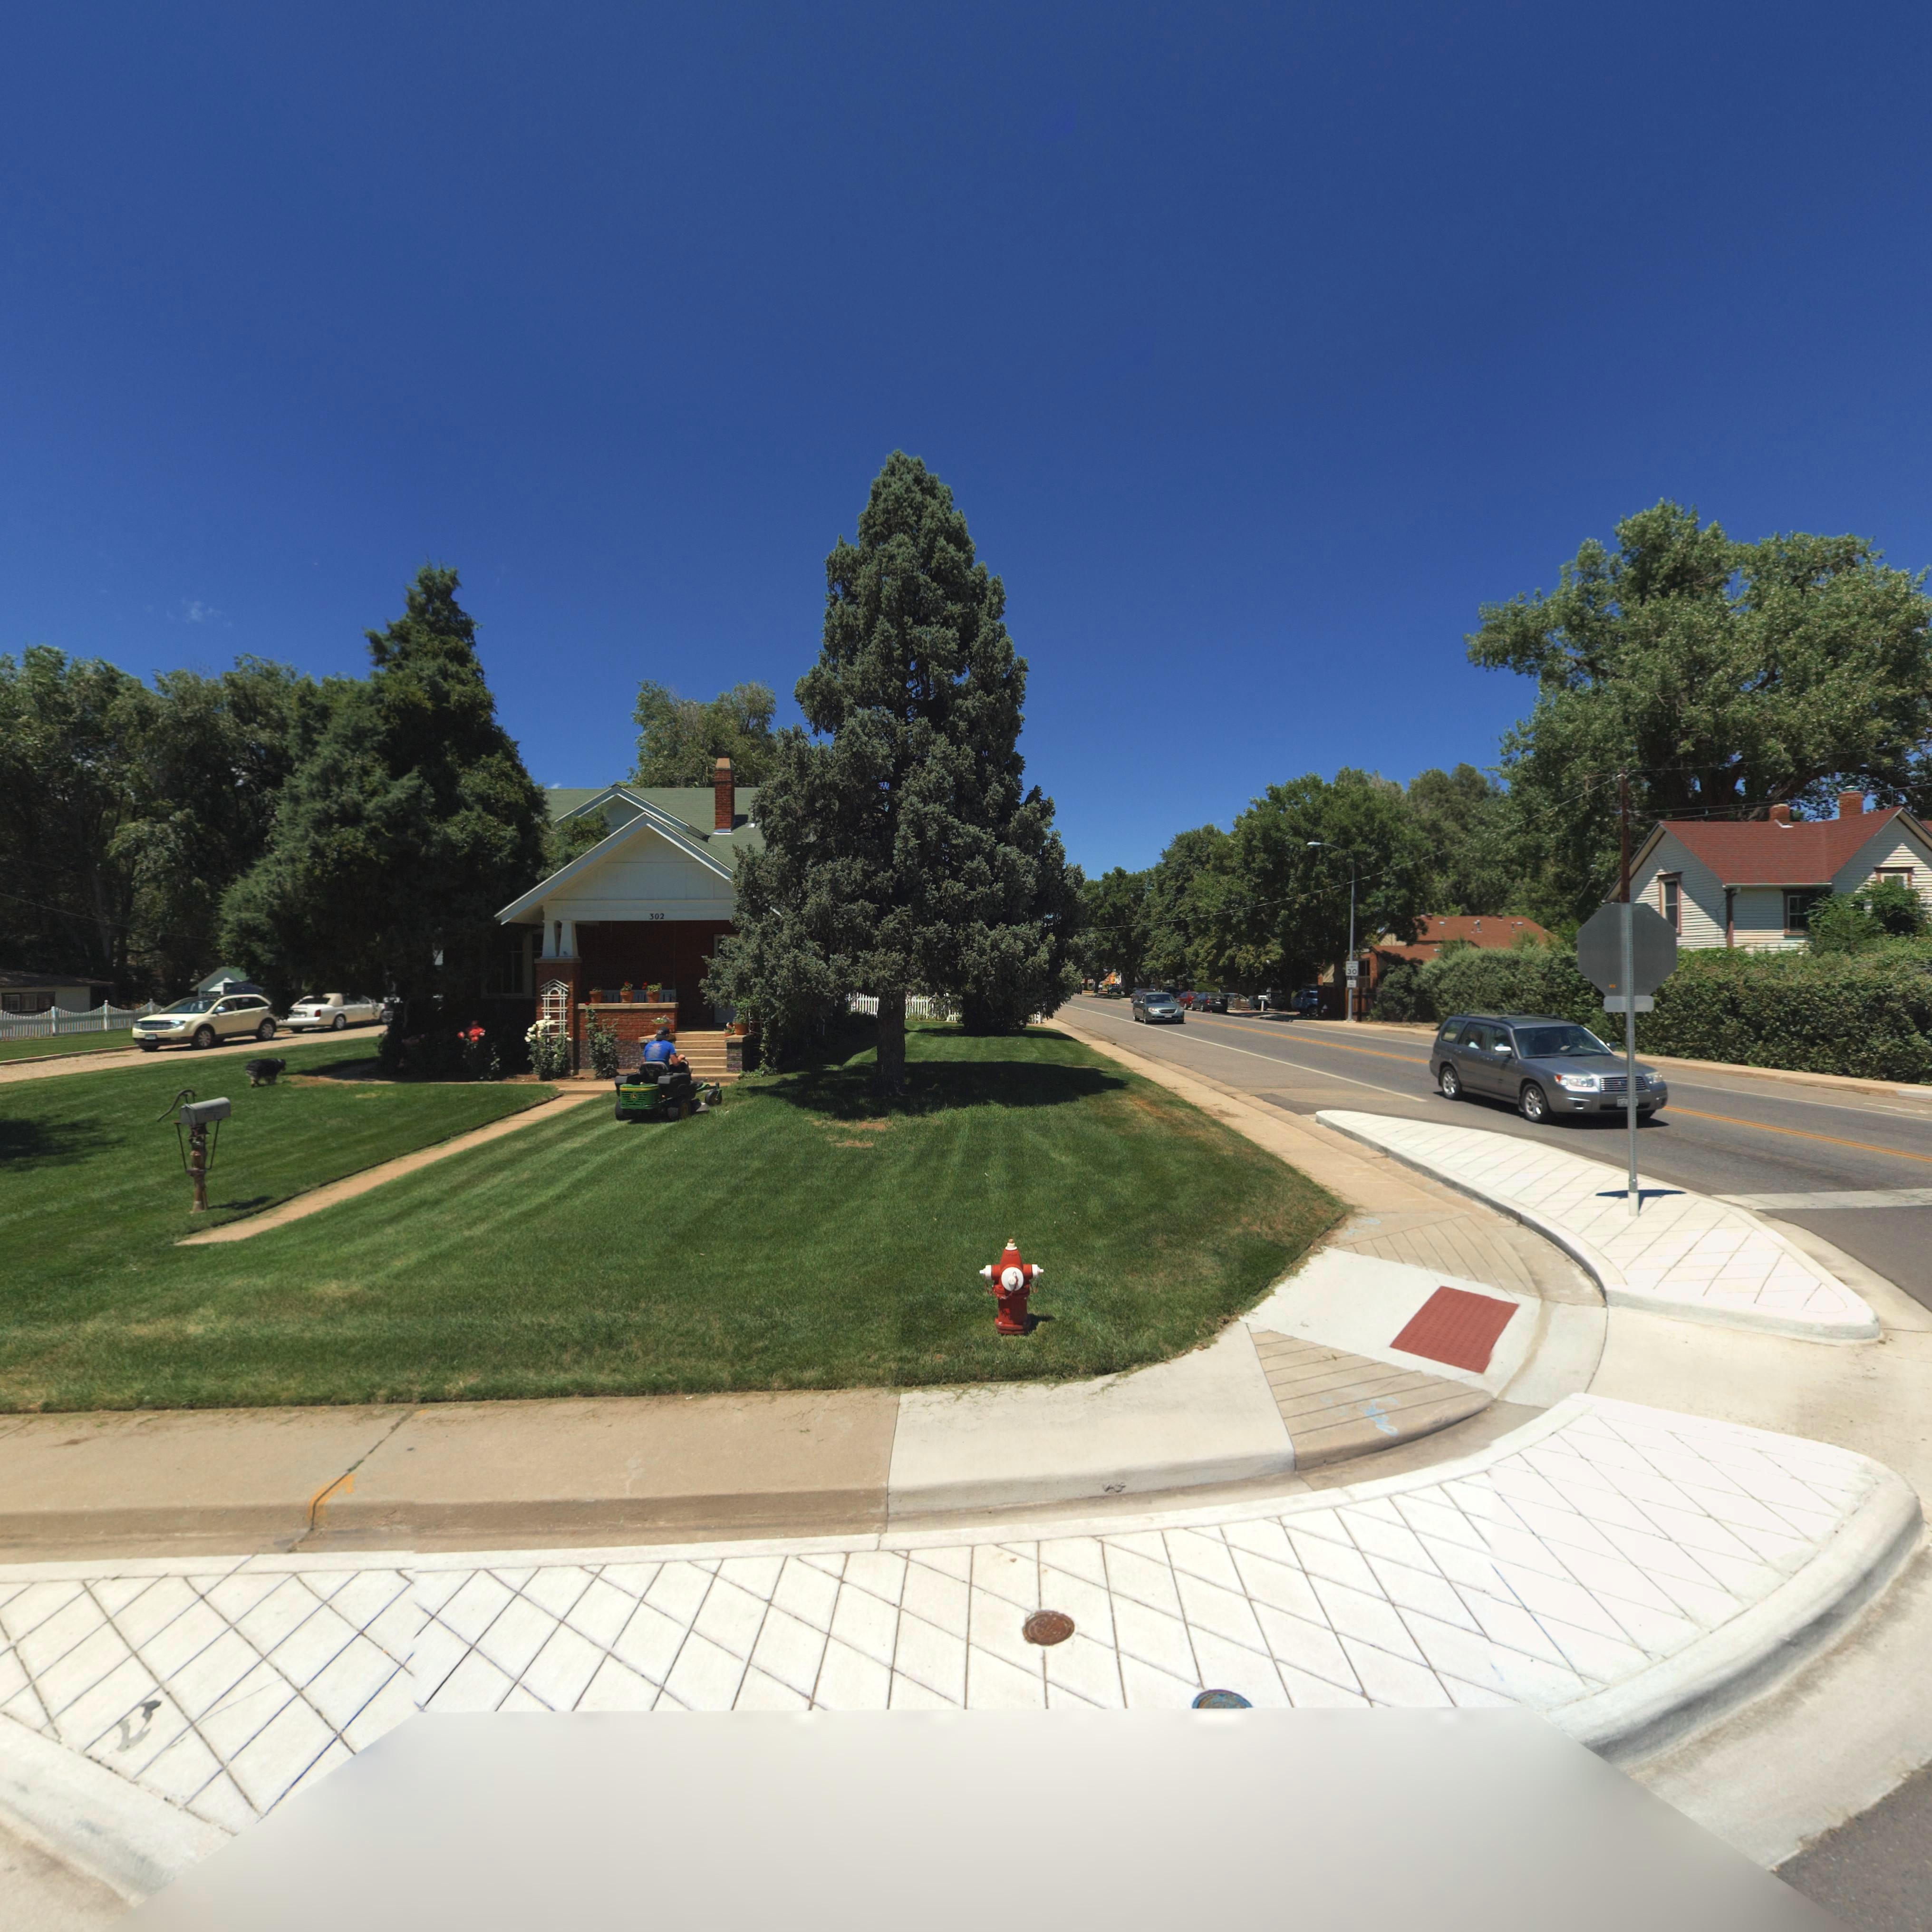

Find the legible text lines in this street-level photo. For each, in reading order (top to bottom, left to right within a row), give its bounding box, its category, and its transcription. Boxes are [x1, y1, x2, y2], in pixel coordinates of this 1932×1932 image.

[649, 913, 664, 919] StreetNumber: 302